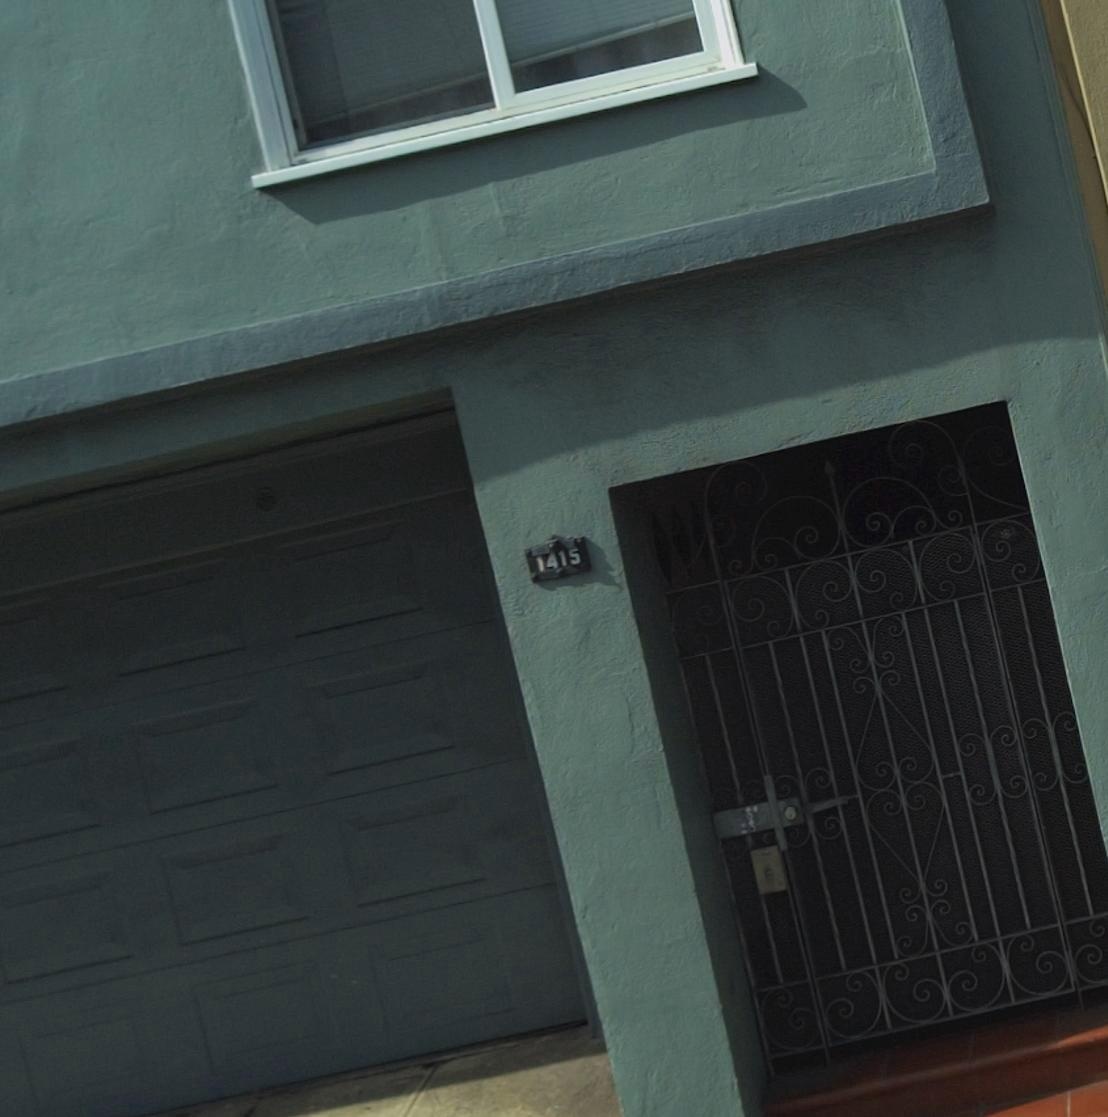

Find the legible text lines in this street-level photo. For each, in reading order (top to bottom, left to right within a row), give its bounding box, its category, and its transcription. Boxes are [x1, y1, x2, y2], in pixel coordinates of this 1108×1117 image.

[531, 544, 585, 576] StreetNumber: 1415